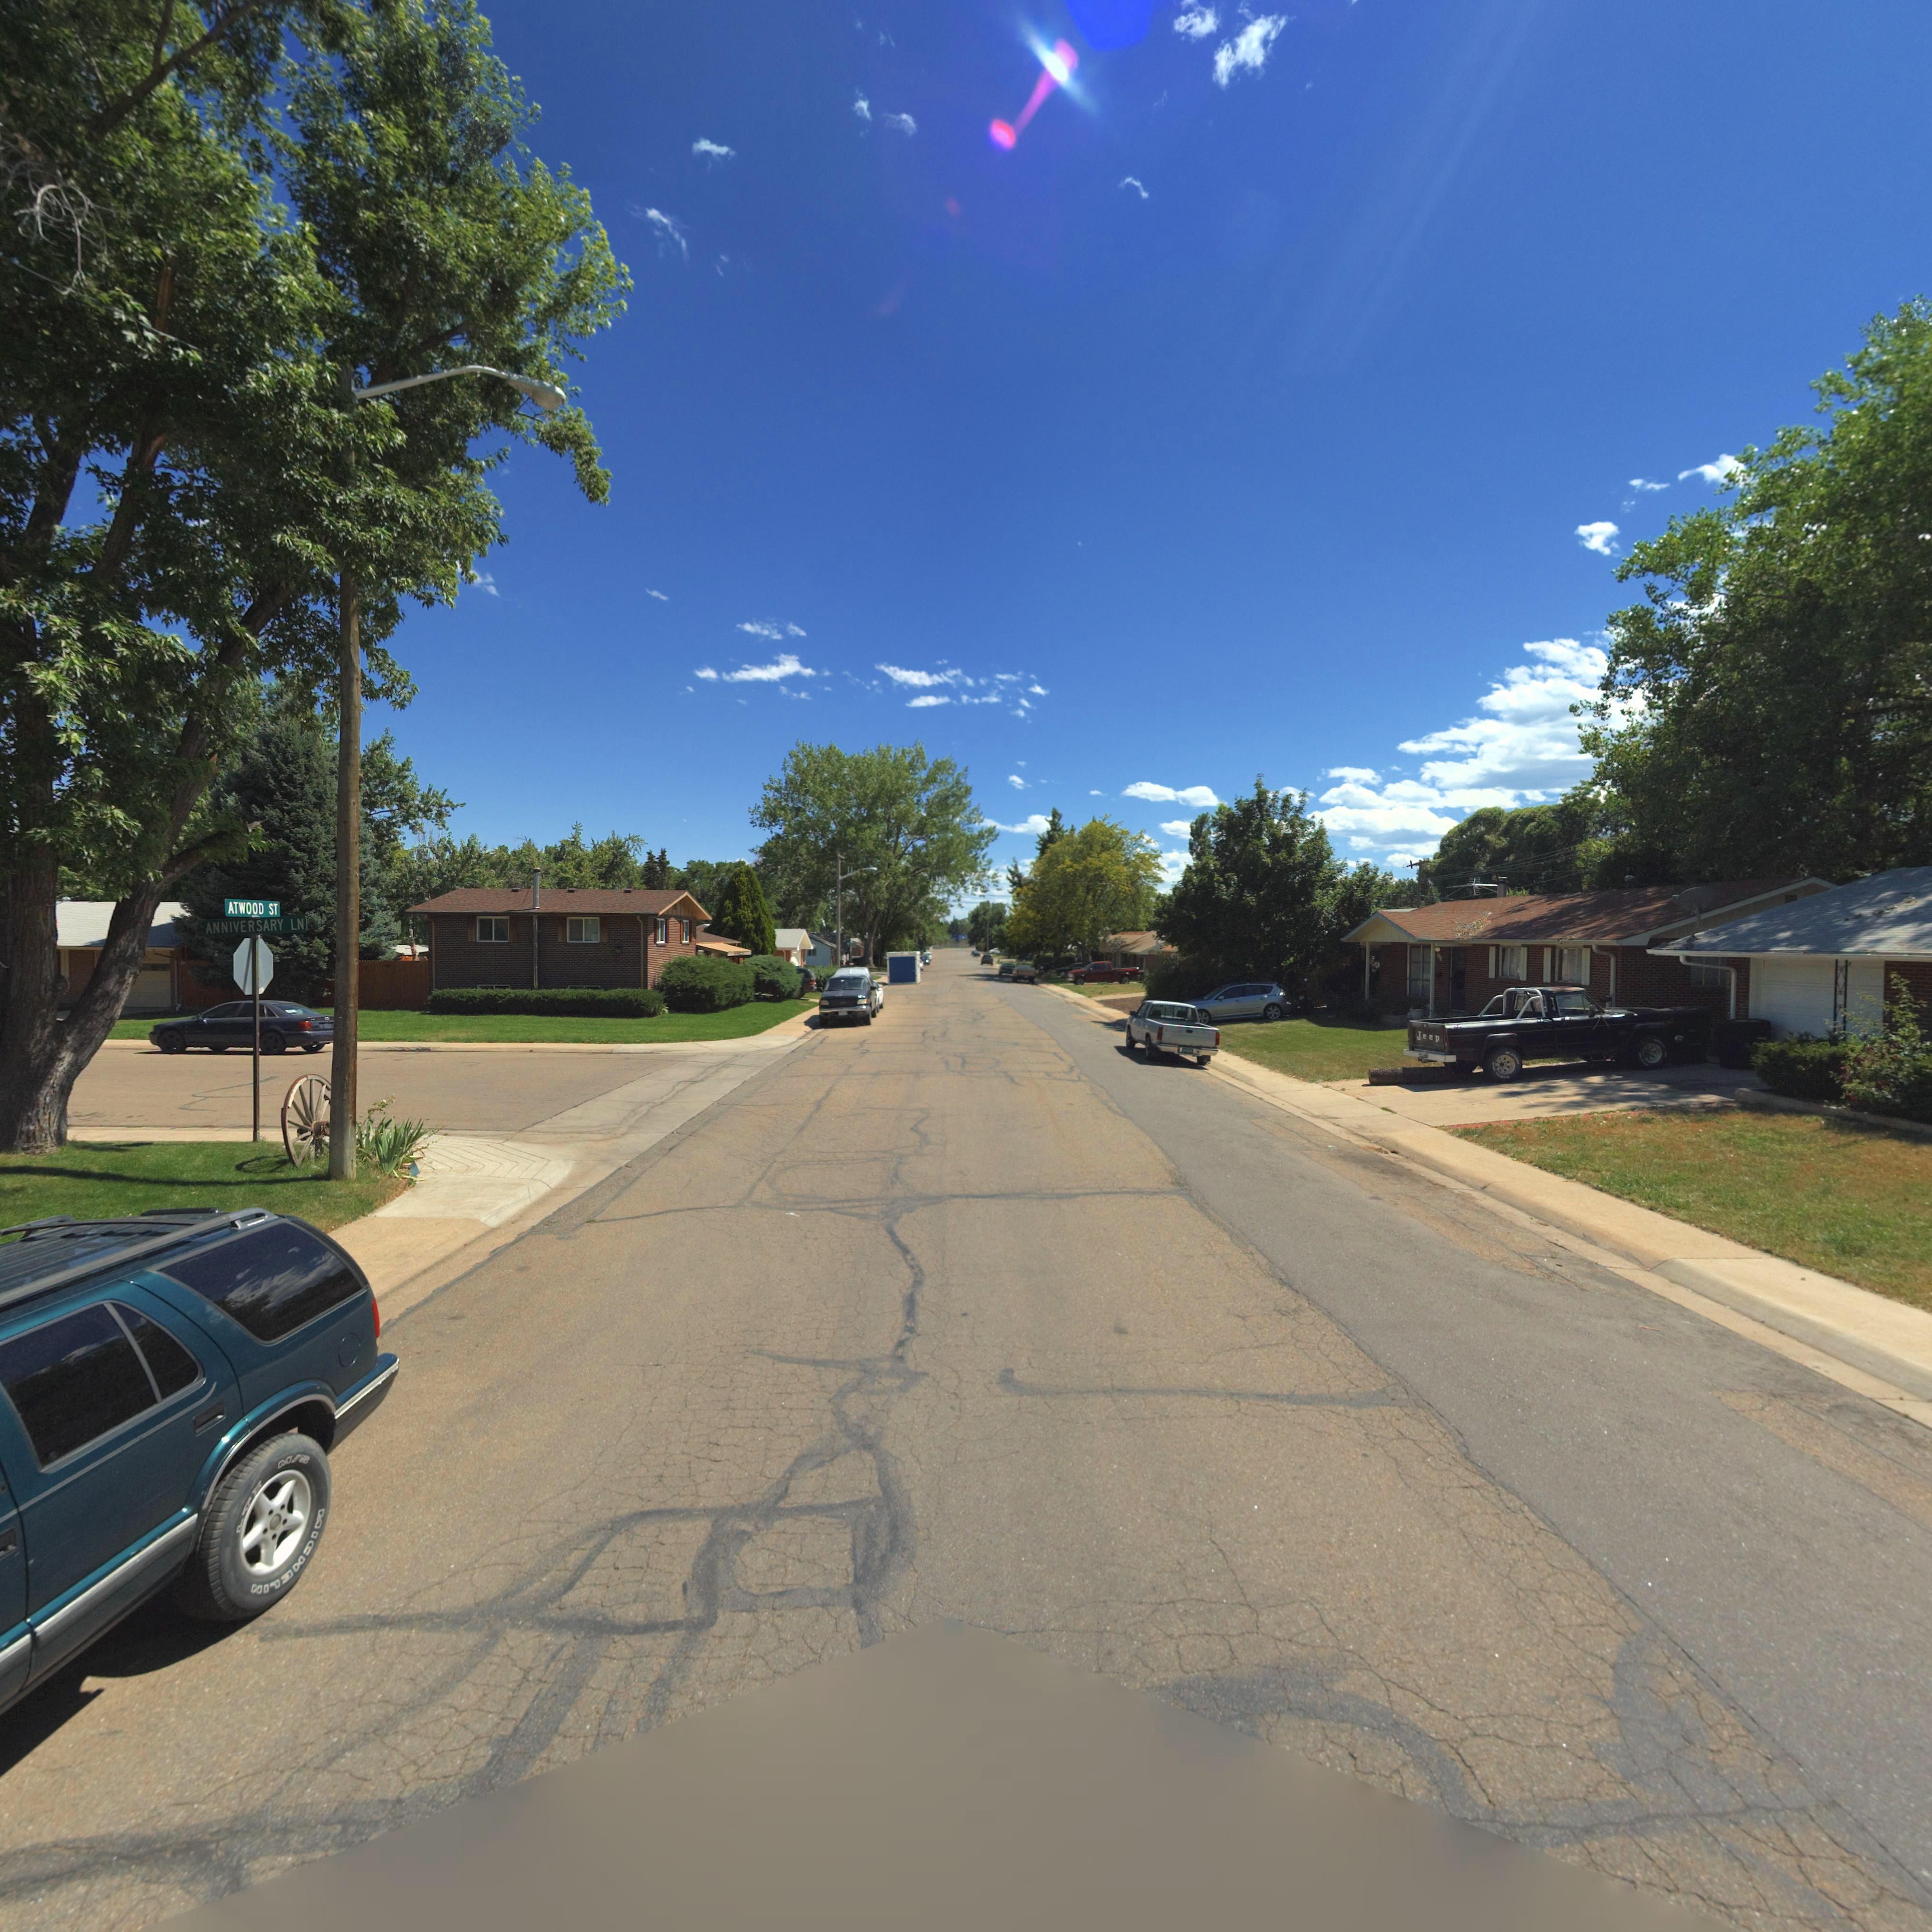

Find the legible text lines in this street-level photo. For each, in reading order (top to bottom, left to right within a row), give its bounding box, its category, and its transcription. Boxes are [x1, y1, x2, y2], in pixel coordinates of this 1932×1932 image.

[227, 901, 279, 915] StreetName: ATWOOD ST
[205, 917, 305, 934] StreetName: ANNIVERSARY LN